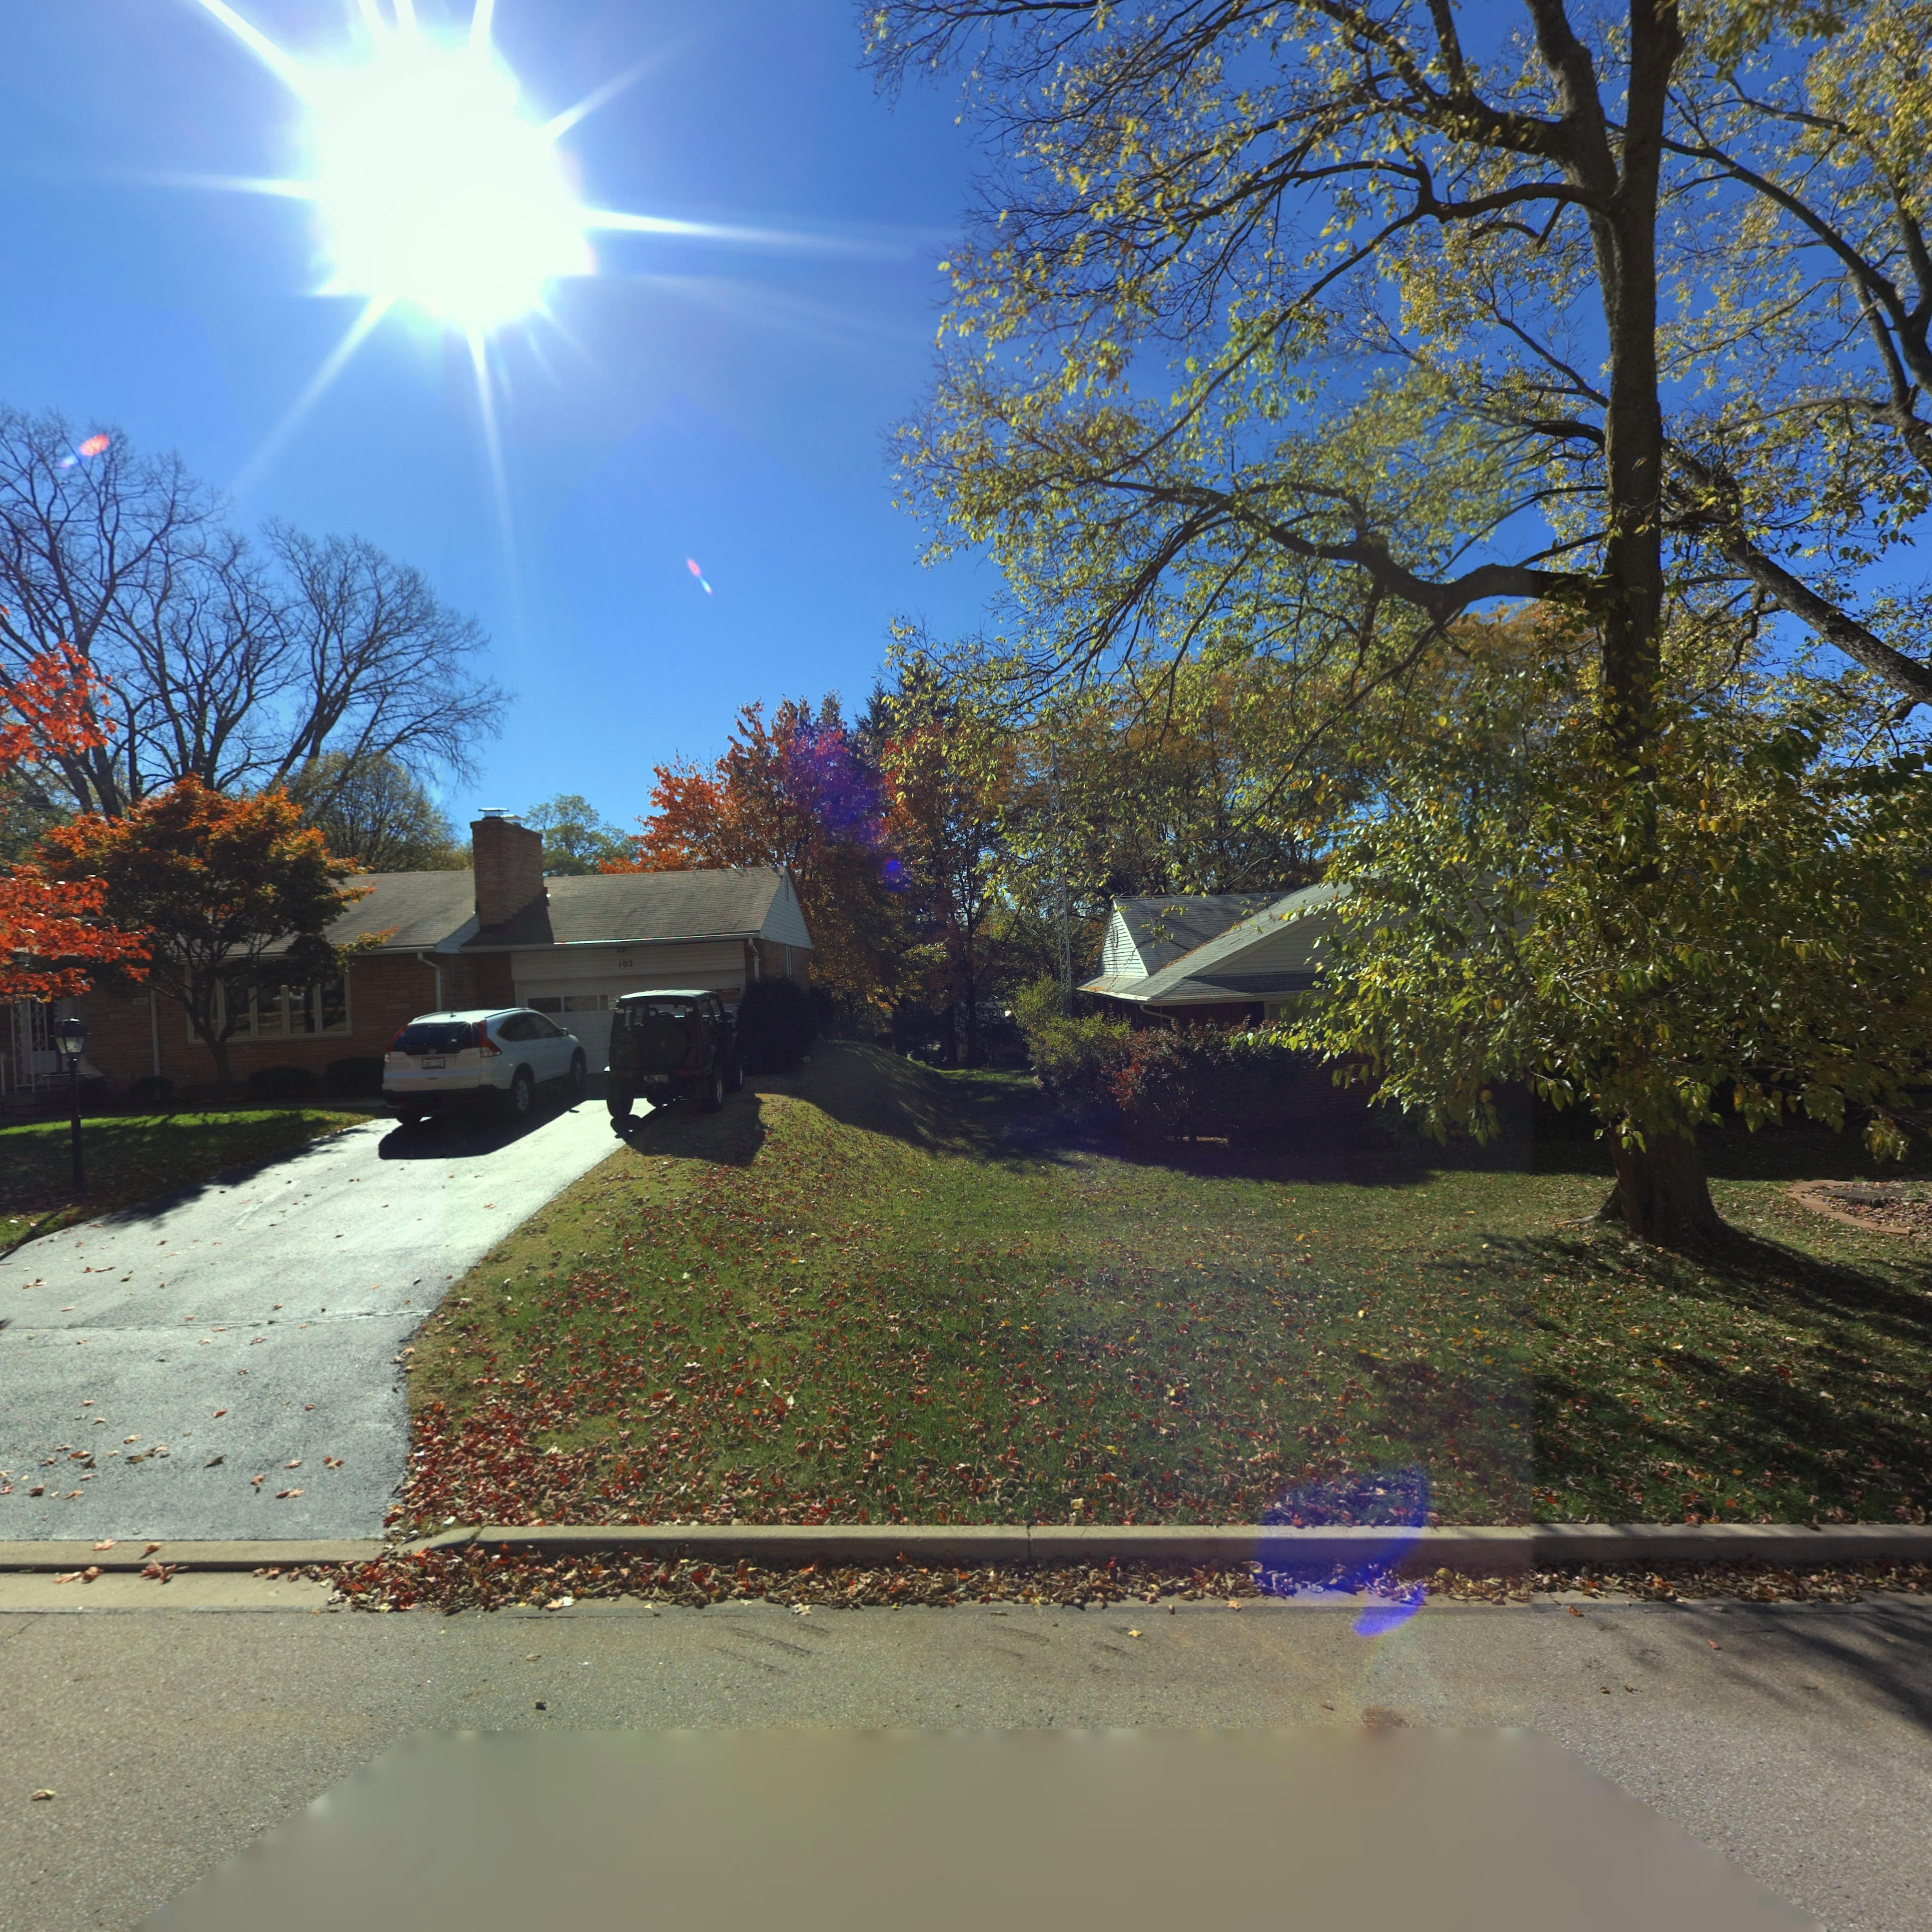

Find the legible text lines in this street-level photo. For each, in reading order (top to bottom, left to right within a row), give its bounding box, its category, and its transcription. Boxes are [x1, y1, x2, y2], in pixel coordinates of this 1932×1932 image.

[618, 959, 634, 968] StreetNumber: 102